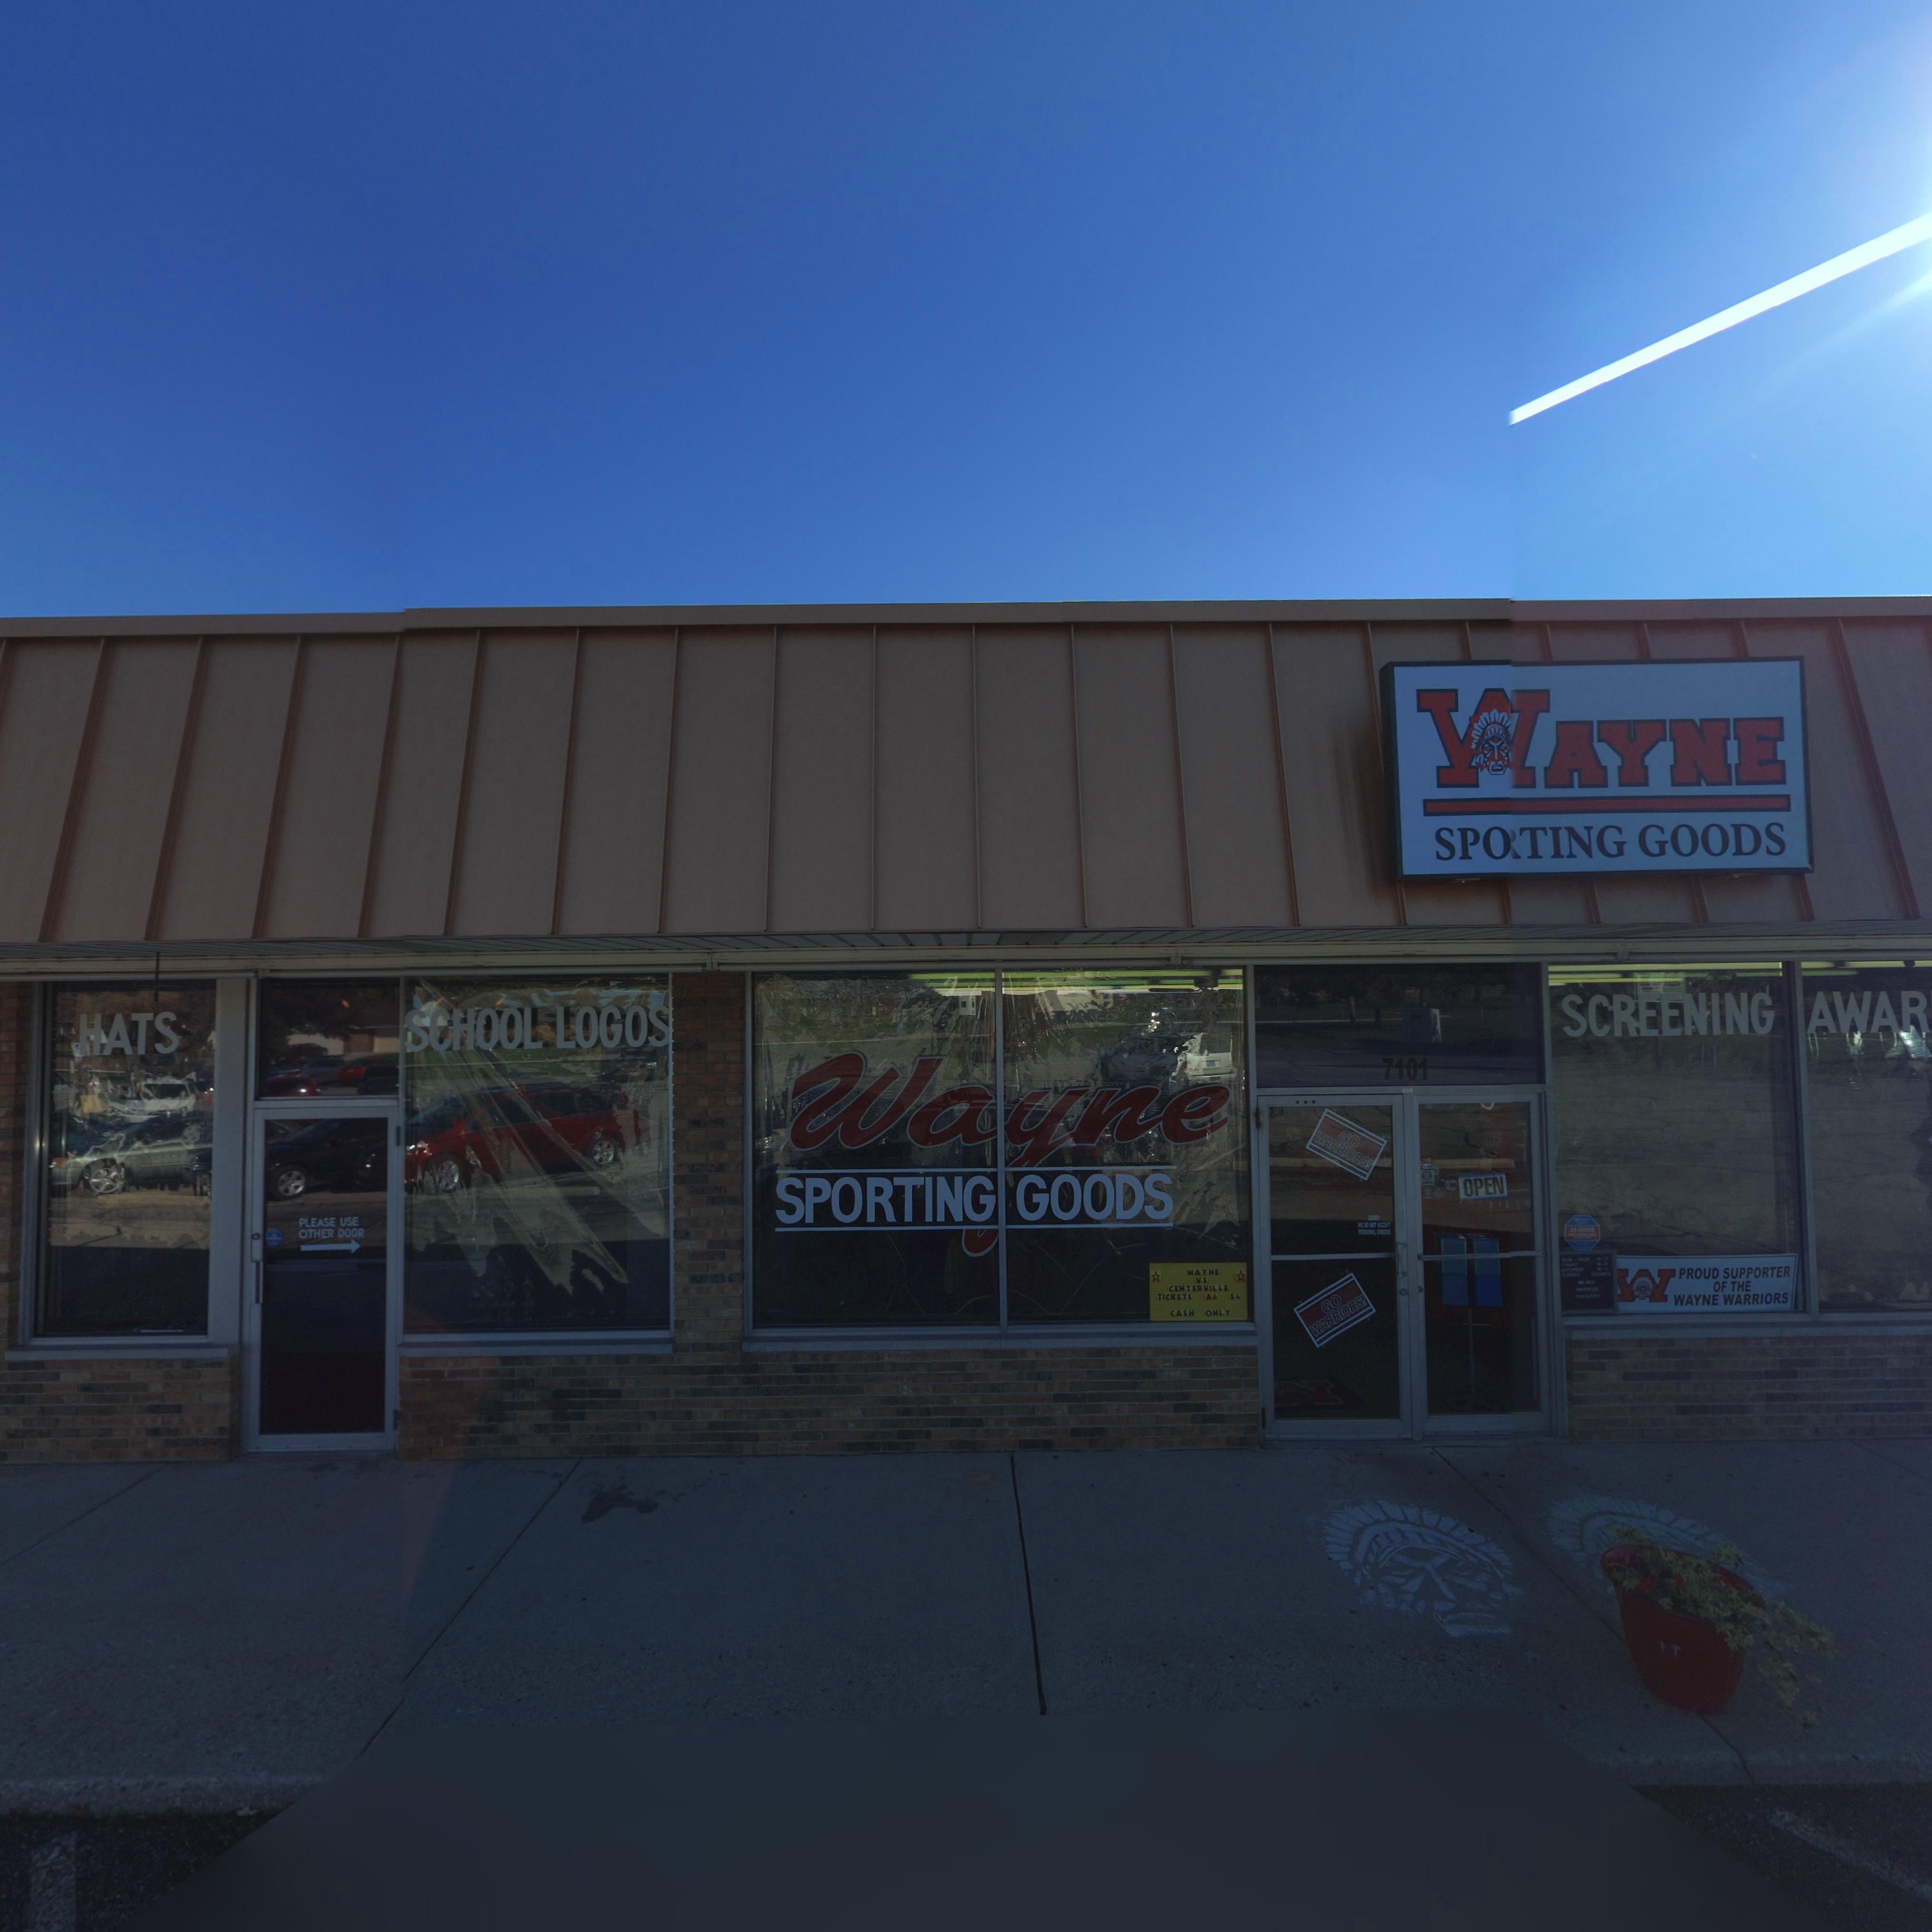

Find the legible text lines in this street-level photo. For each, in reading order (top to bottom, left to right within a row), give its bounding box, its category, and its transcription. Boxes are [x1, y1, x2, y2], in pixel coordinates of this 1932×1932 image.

[1540, 714, 1791, 792] BusinessName: AYNE
[1431, 820, 1790, 862] BusinessName: SPO*TING GOODS
[1381, 1056, 1428, 1081] StreetNumber: 7101
[785, 1048, 1235, 1172] BusinessName: Wayne
[772, 1171, 1175, 1225] BusinessName: SPORTING GOODS